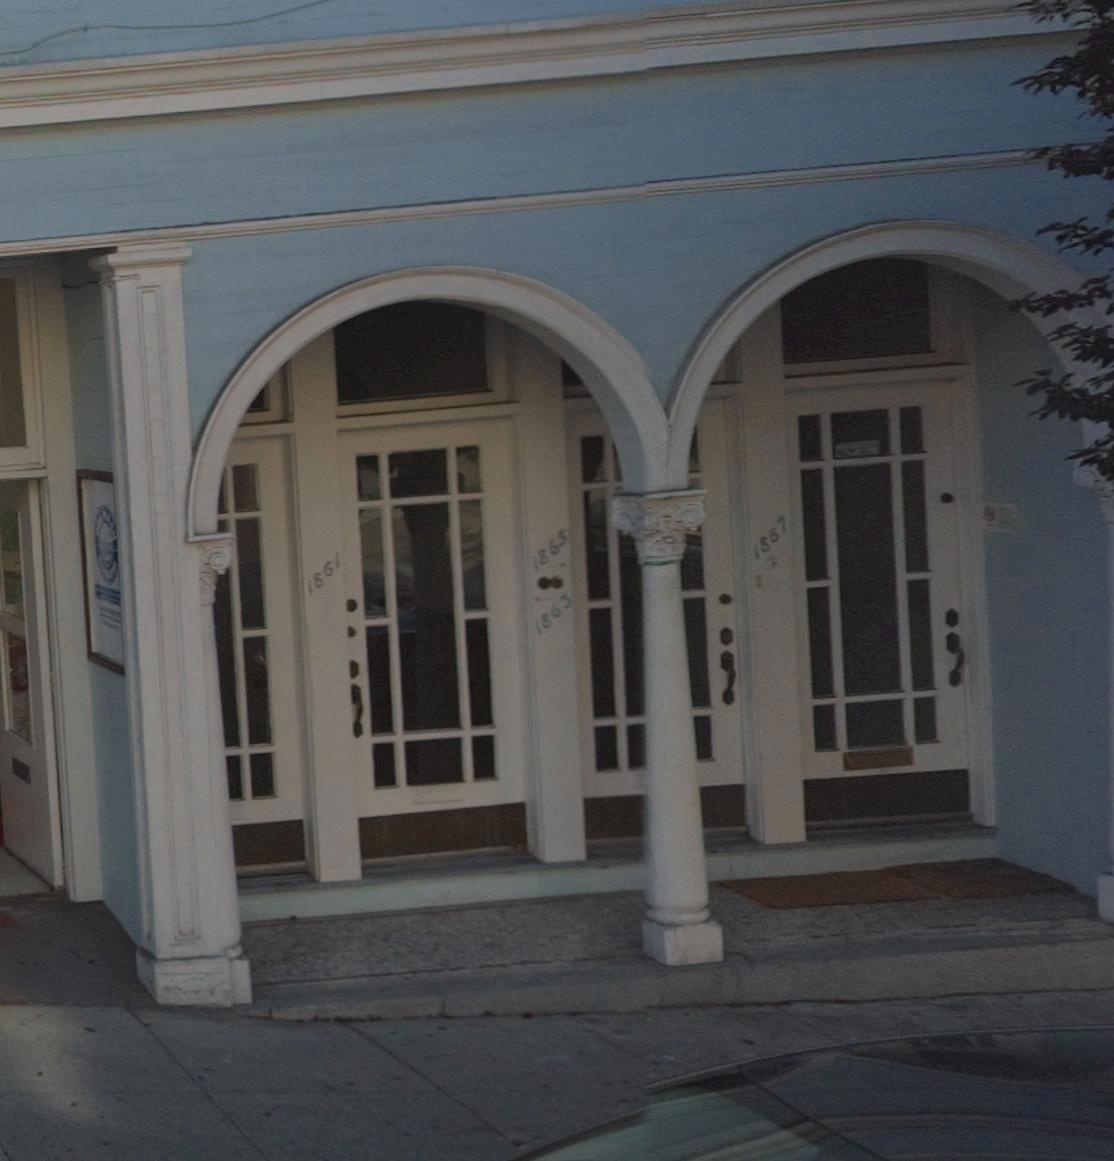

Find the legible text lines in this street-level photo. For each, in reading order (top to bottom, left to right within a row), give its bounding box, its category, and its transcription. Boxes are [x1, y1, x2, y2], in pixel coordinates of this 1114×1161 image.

[304, 544, 344, 603] StreetNumber: 1861
[529, 522, 572, 580] StreetNumber: 1865
[750, 509, 790, 565] StreetNumber: 1867
[531, 586, 578, 639] StreetNumber: 1863